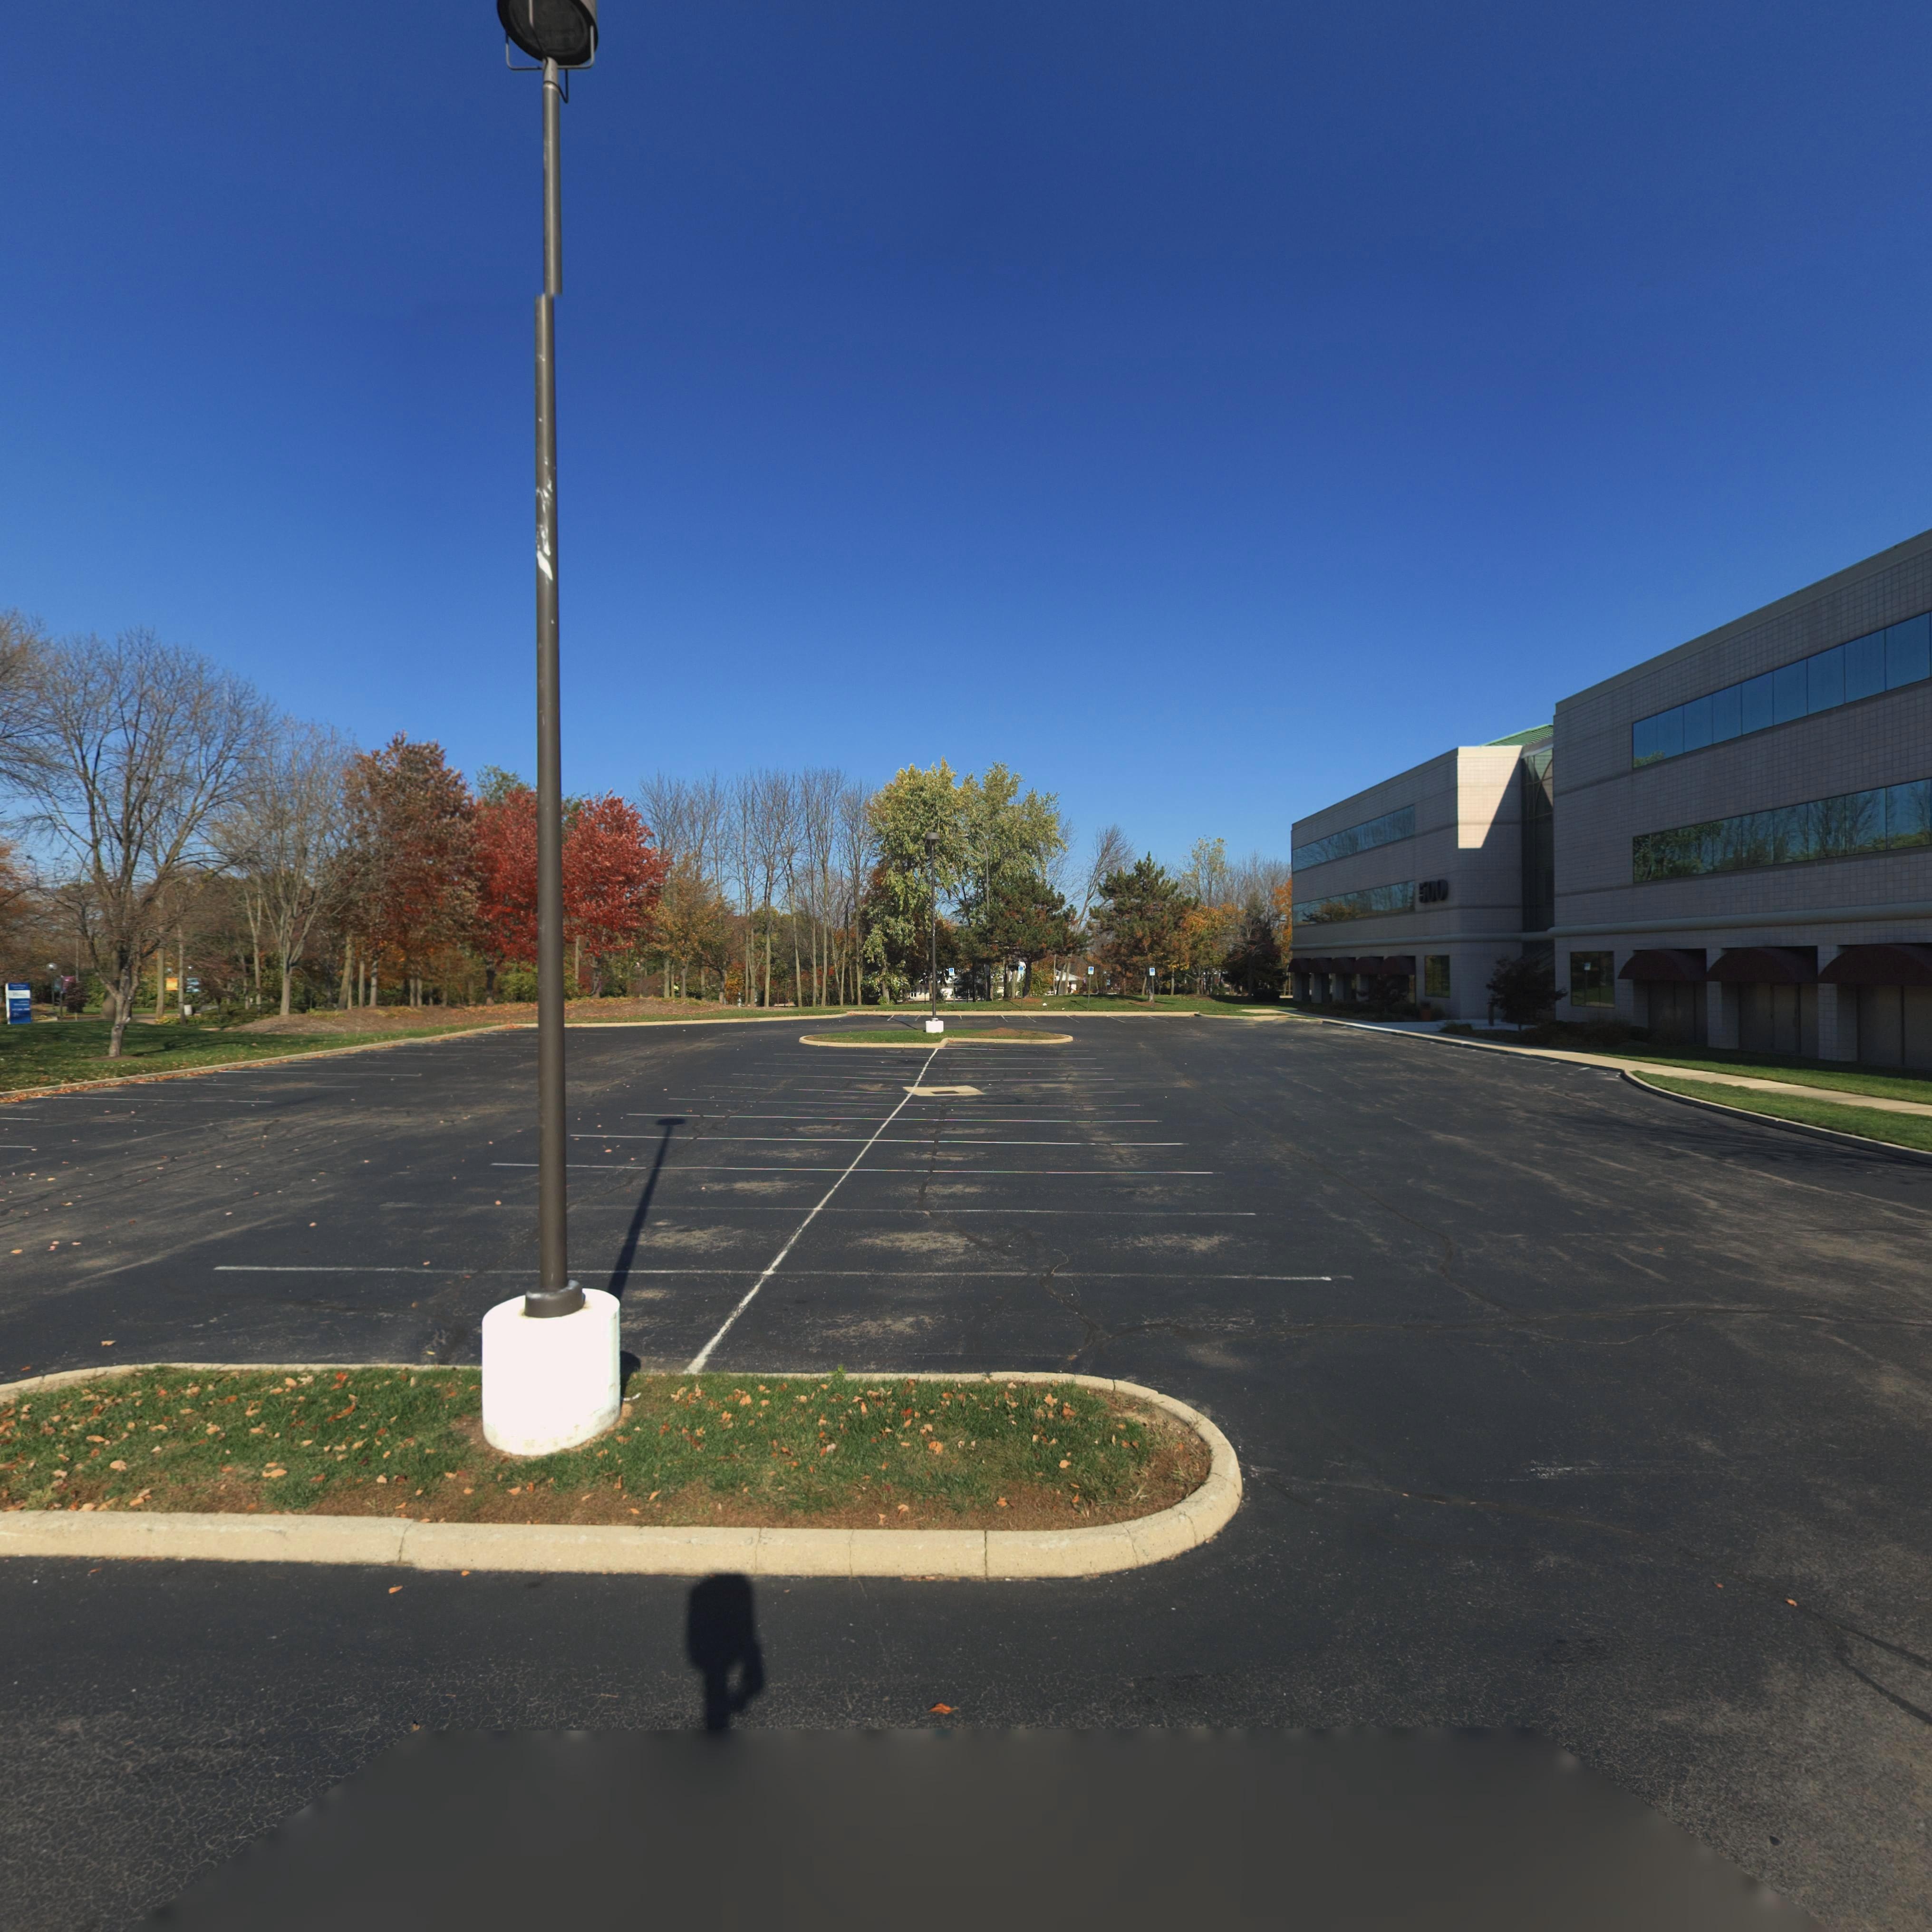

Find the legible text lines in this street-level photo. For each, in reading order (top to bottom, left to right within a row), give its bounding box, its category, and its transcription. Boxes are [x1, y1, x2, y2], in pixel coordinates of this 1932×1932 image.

[1418, 879, 1448, 904] StreetNumber: 500